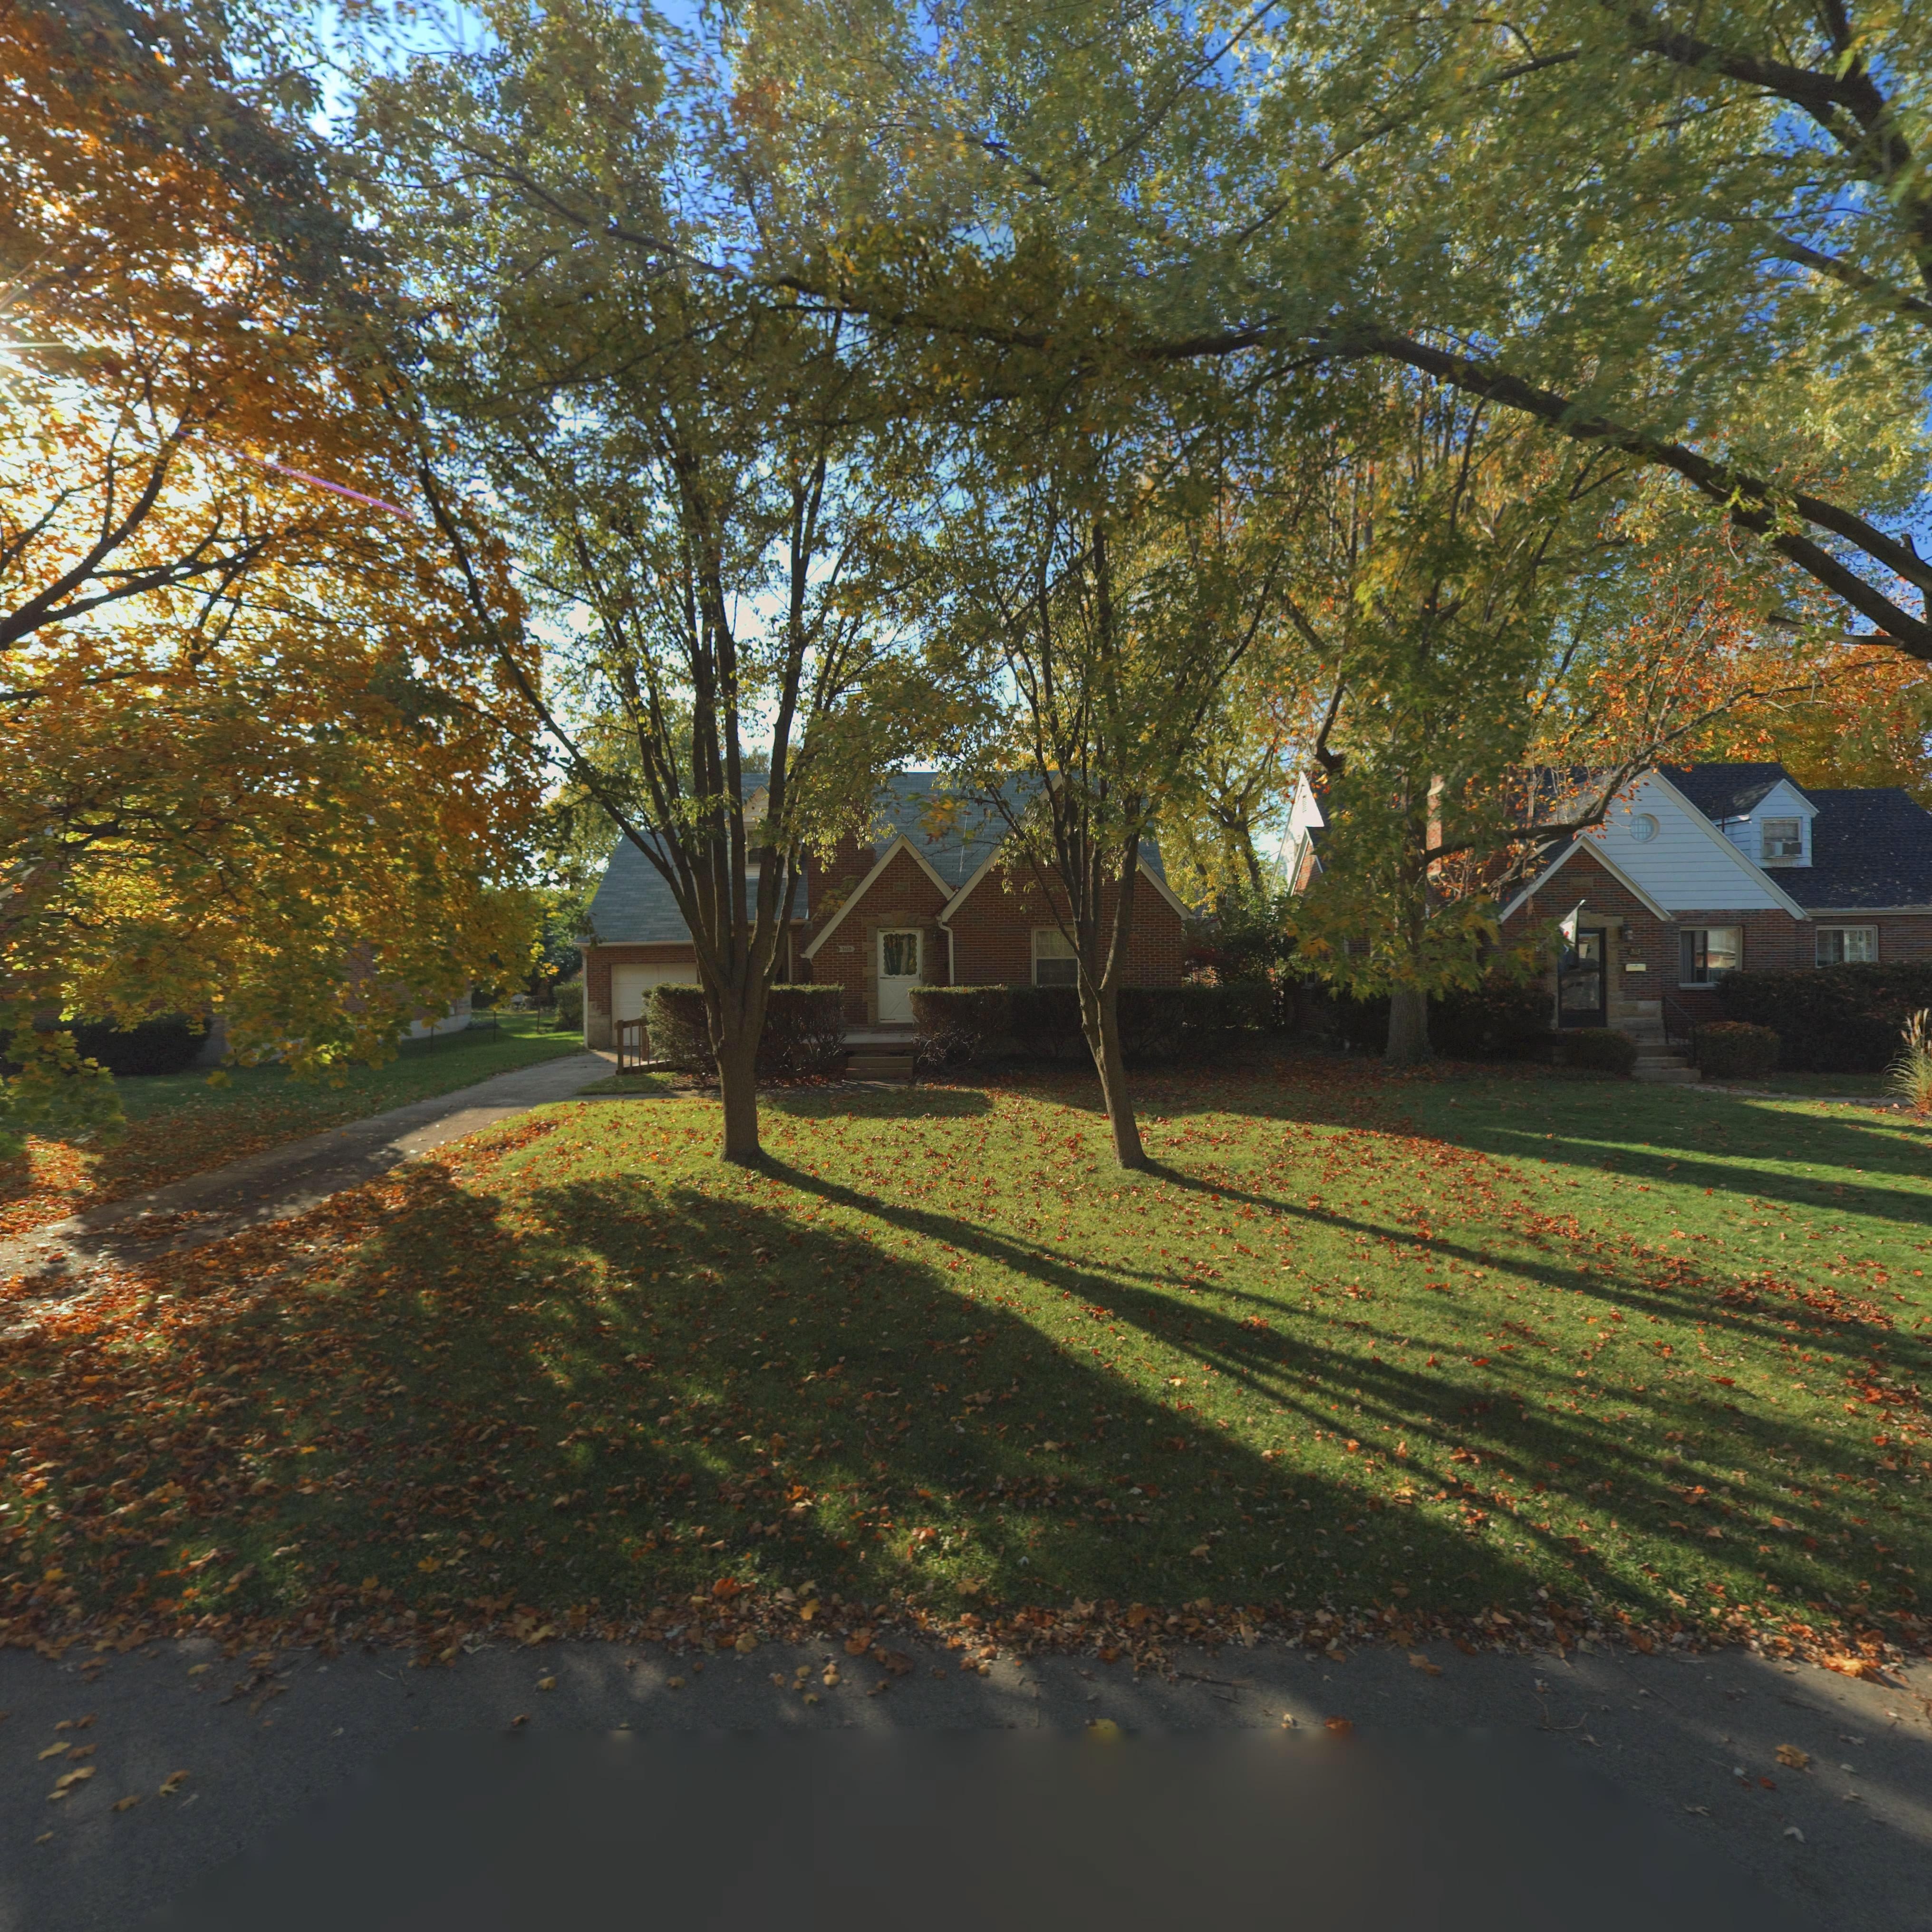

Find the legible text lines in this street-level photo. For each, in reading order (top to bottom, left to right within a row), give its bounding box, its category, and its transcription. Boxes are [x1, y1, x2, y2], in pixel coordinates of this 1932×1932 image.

[841, 946, 852, 952] StreetNumber: 3119
[1634, 948, 1642, 956] StreetNumber: 3